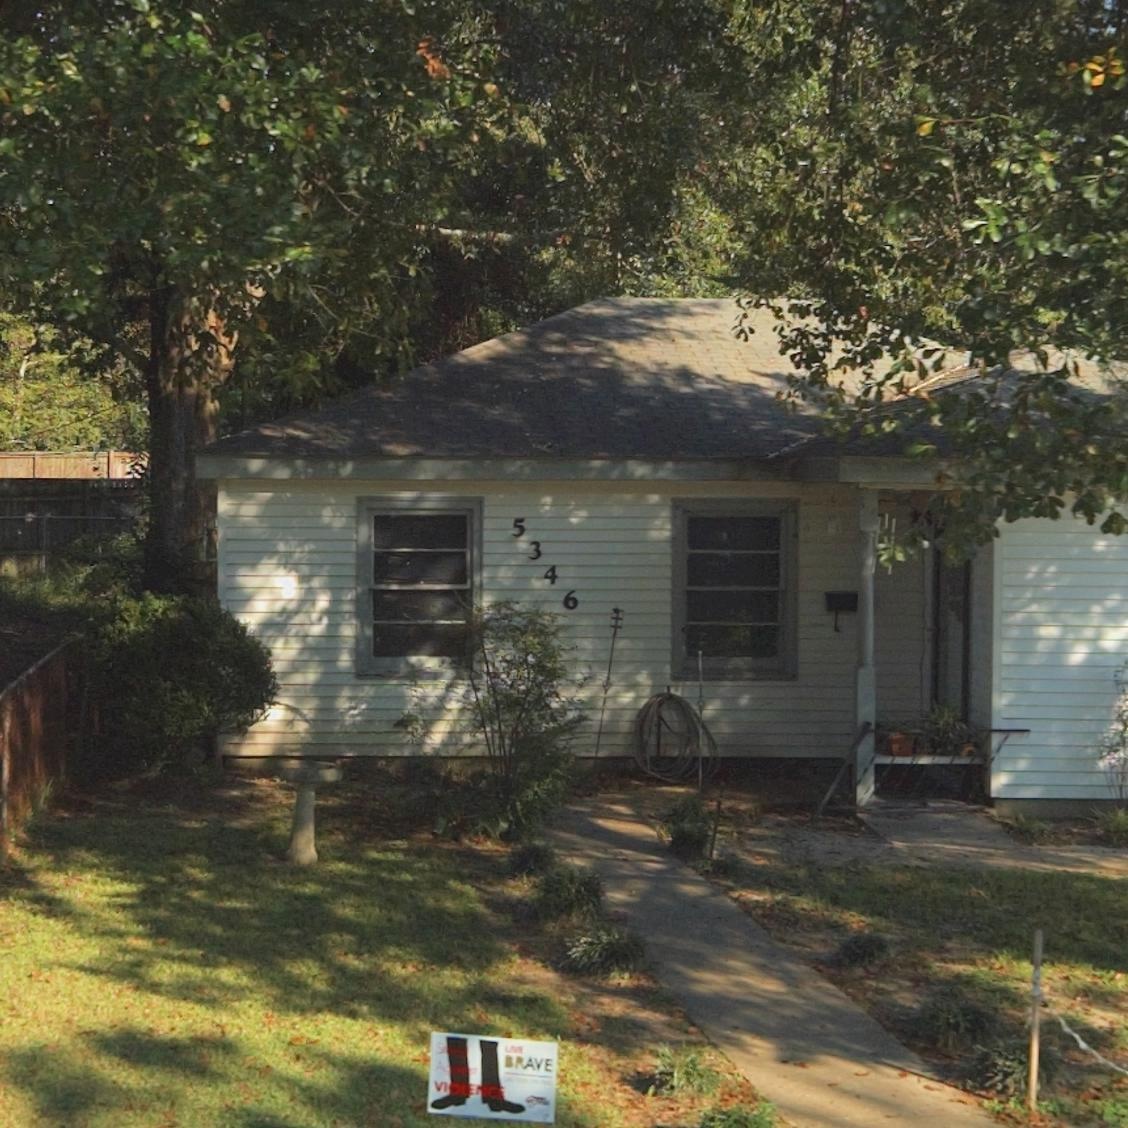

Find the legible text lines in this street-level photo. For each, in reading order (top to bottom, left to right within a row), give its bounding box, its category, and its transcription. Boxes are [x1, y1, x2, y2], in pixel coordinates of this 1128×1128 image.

[511, 516, 579, 611] StreetNumber: 5346
[504, 1054, 553, 1073] None: BRAVE
[433, 1079, 448, 1093] None: VI